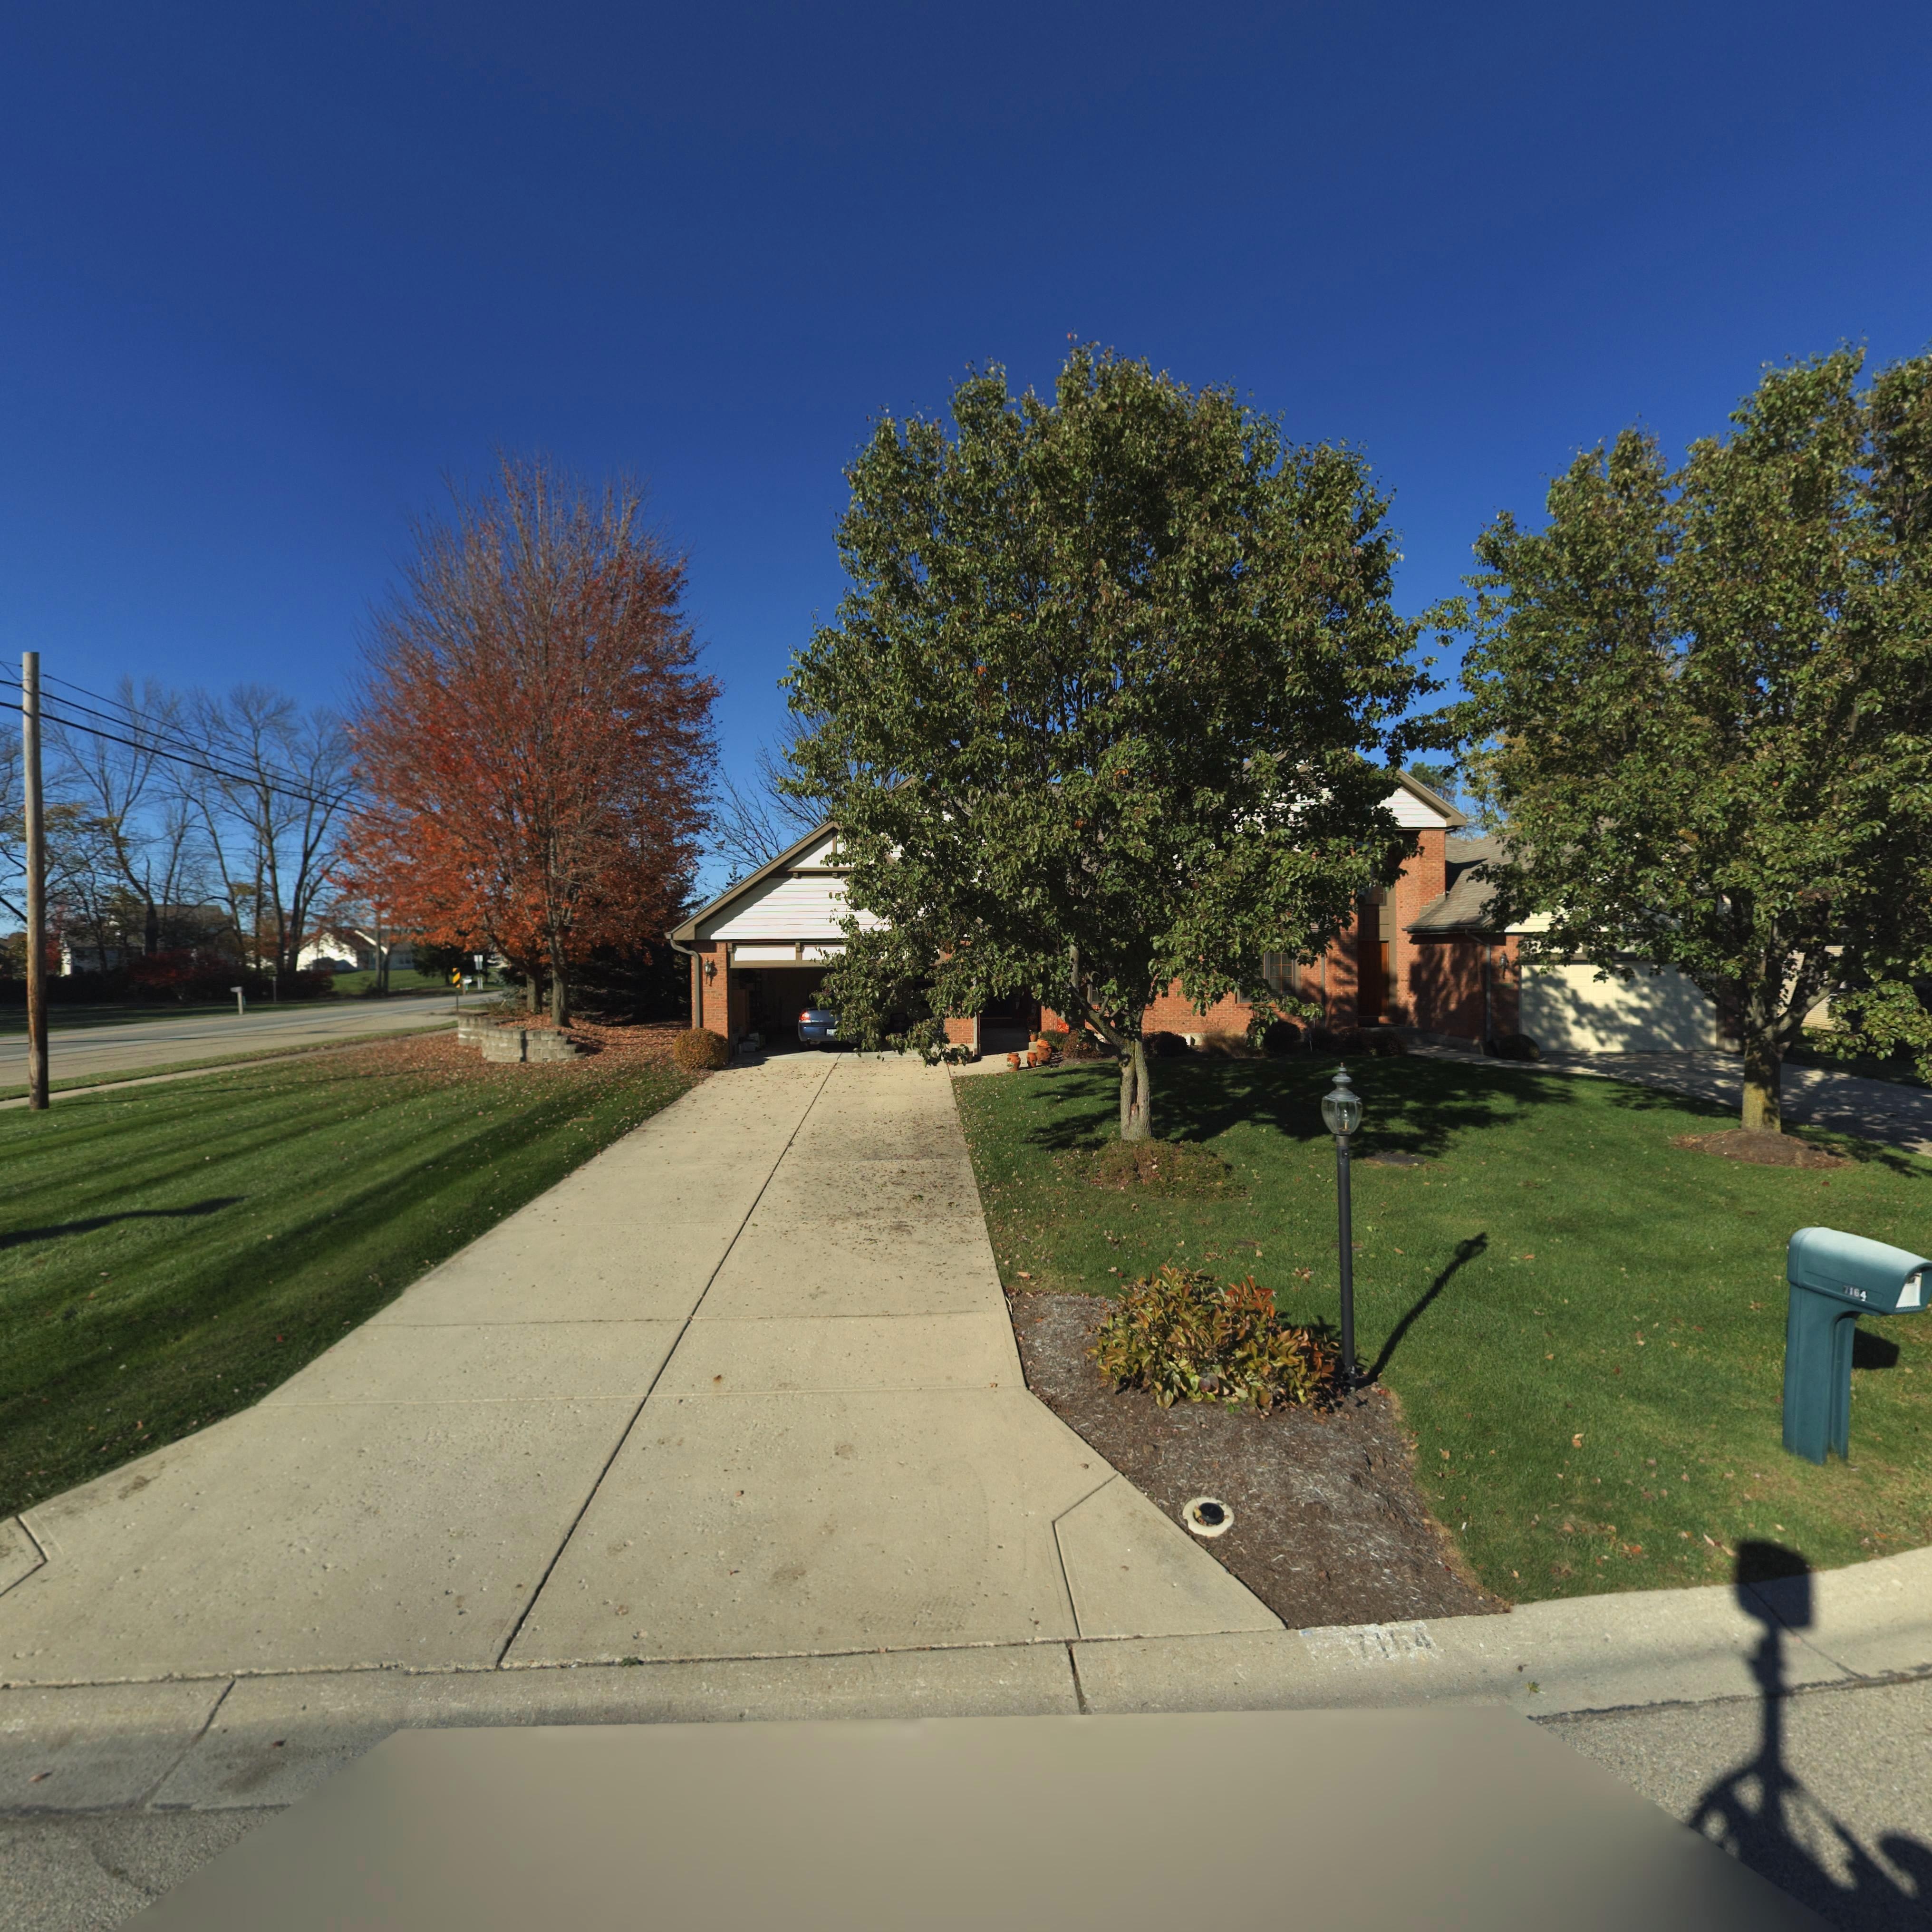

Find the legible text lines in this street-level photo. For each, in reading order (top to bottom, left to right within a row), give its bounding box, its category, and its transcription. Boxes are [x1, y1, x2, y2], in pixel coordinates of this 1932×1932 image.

[829, 951, 844, 955] StreetNumber: 7***
[1842, 1284, 1867, 1301] StreetNumber: 7164
[1344, 1624, 1435, 1665] StreetNumber: 71*4